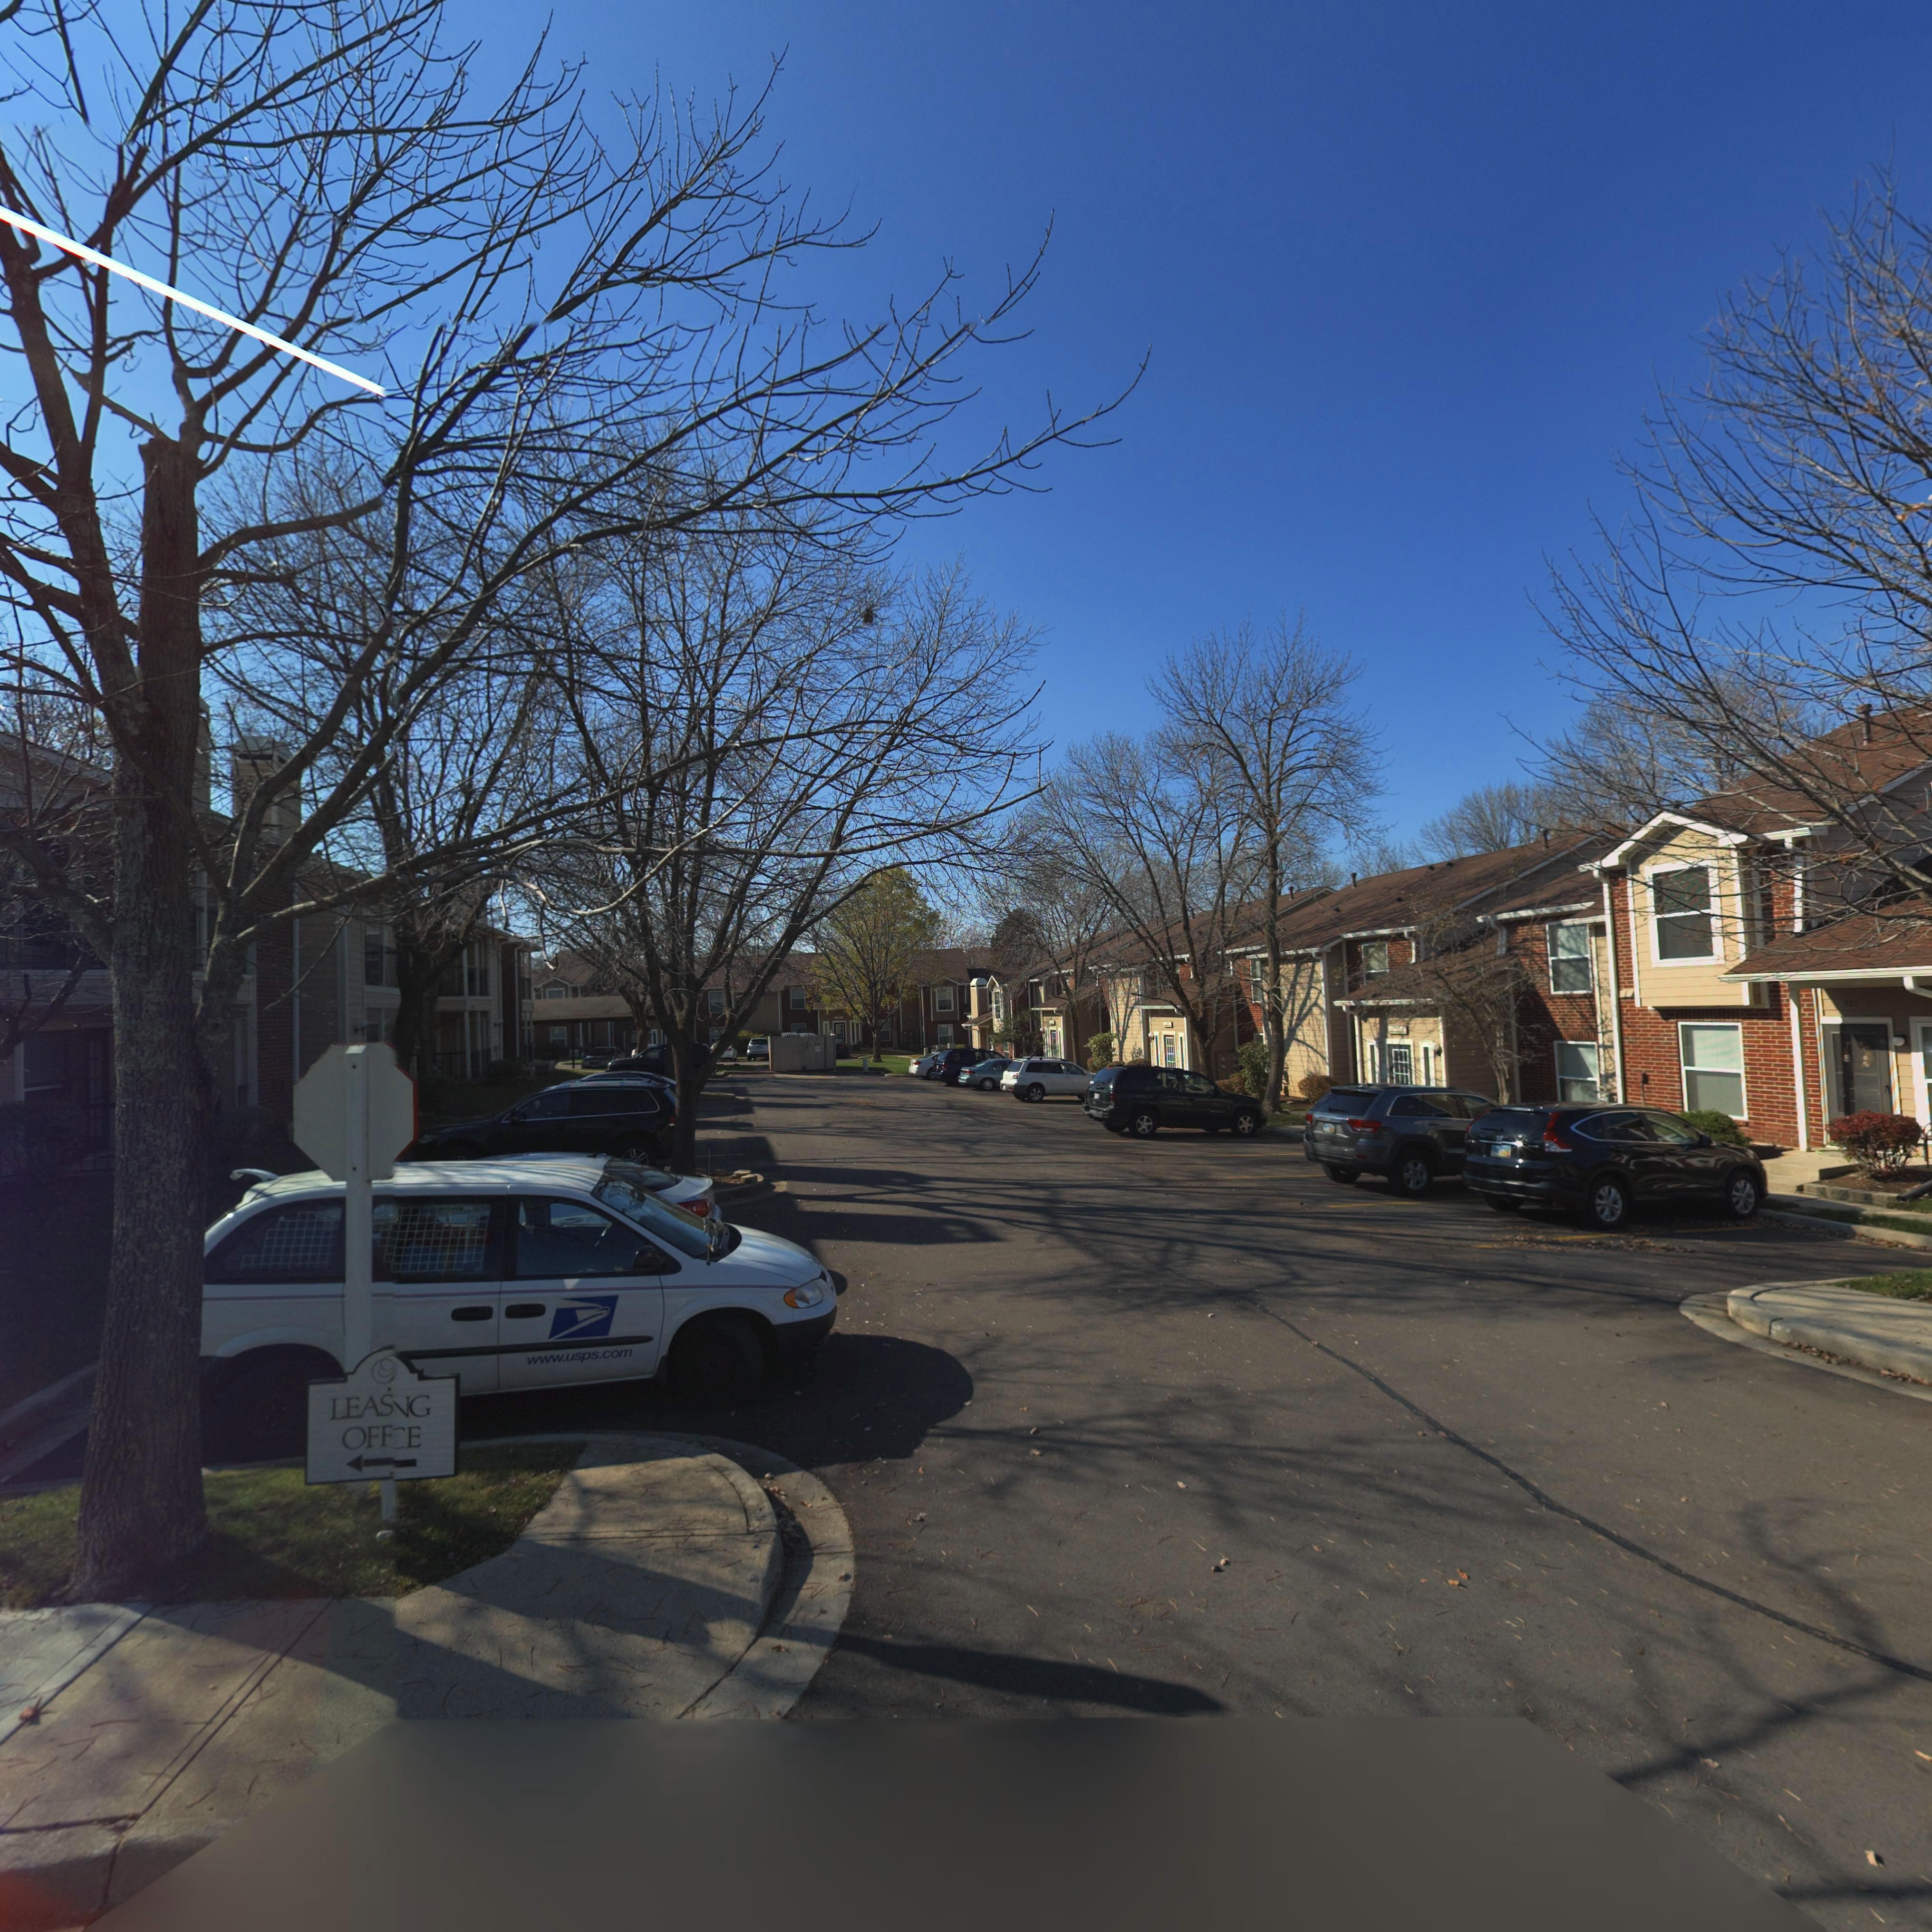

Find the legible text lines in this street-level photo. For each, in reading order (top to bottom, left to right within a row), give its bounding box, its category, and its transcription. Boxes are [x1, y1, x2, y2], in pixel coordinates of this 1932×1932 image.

[526, 1348, 633, 1365] None: www.usps.com
[329, 1391, 433, 1423] None: LEAS*G
[340, 1424, 424, 1451] None: OFF*E